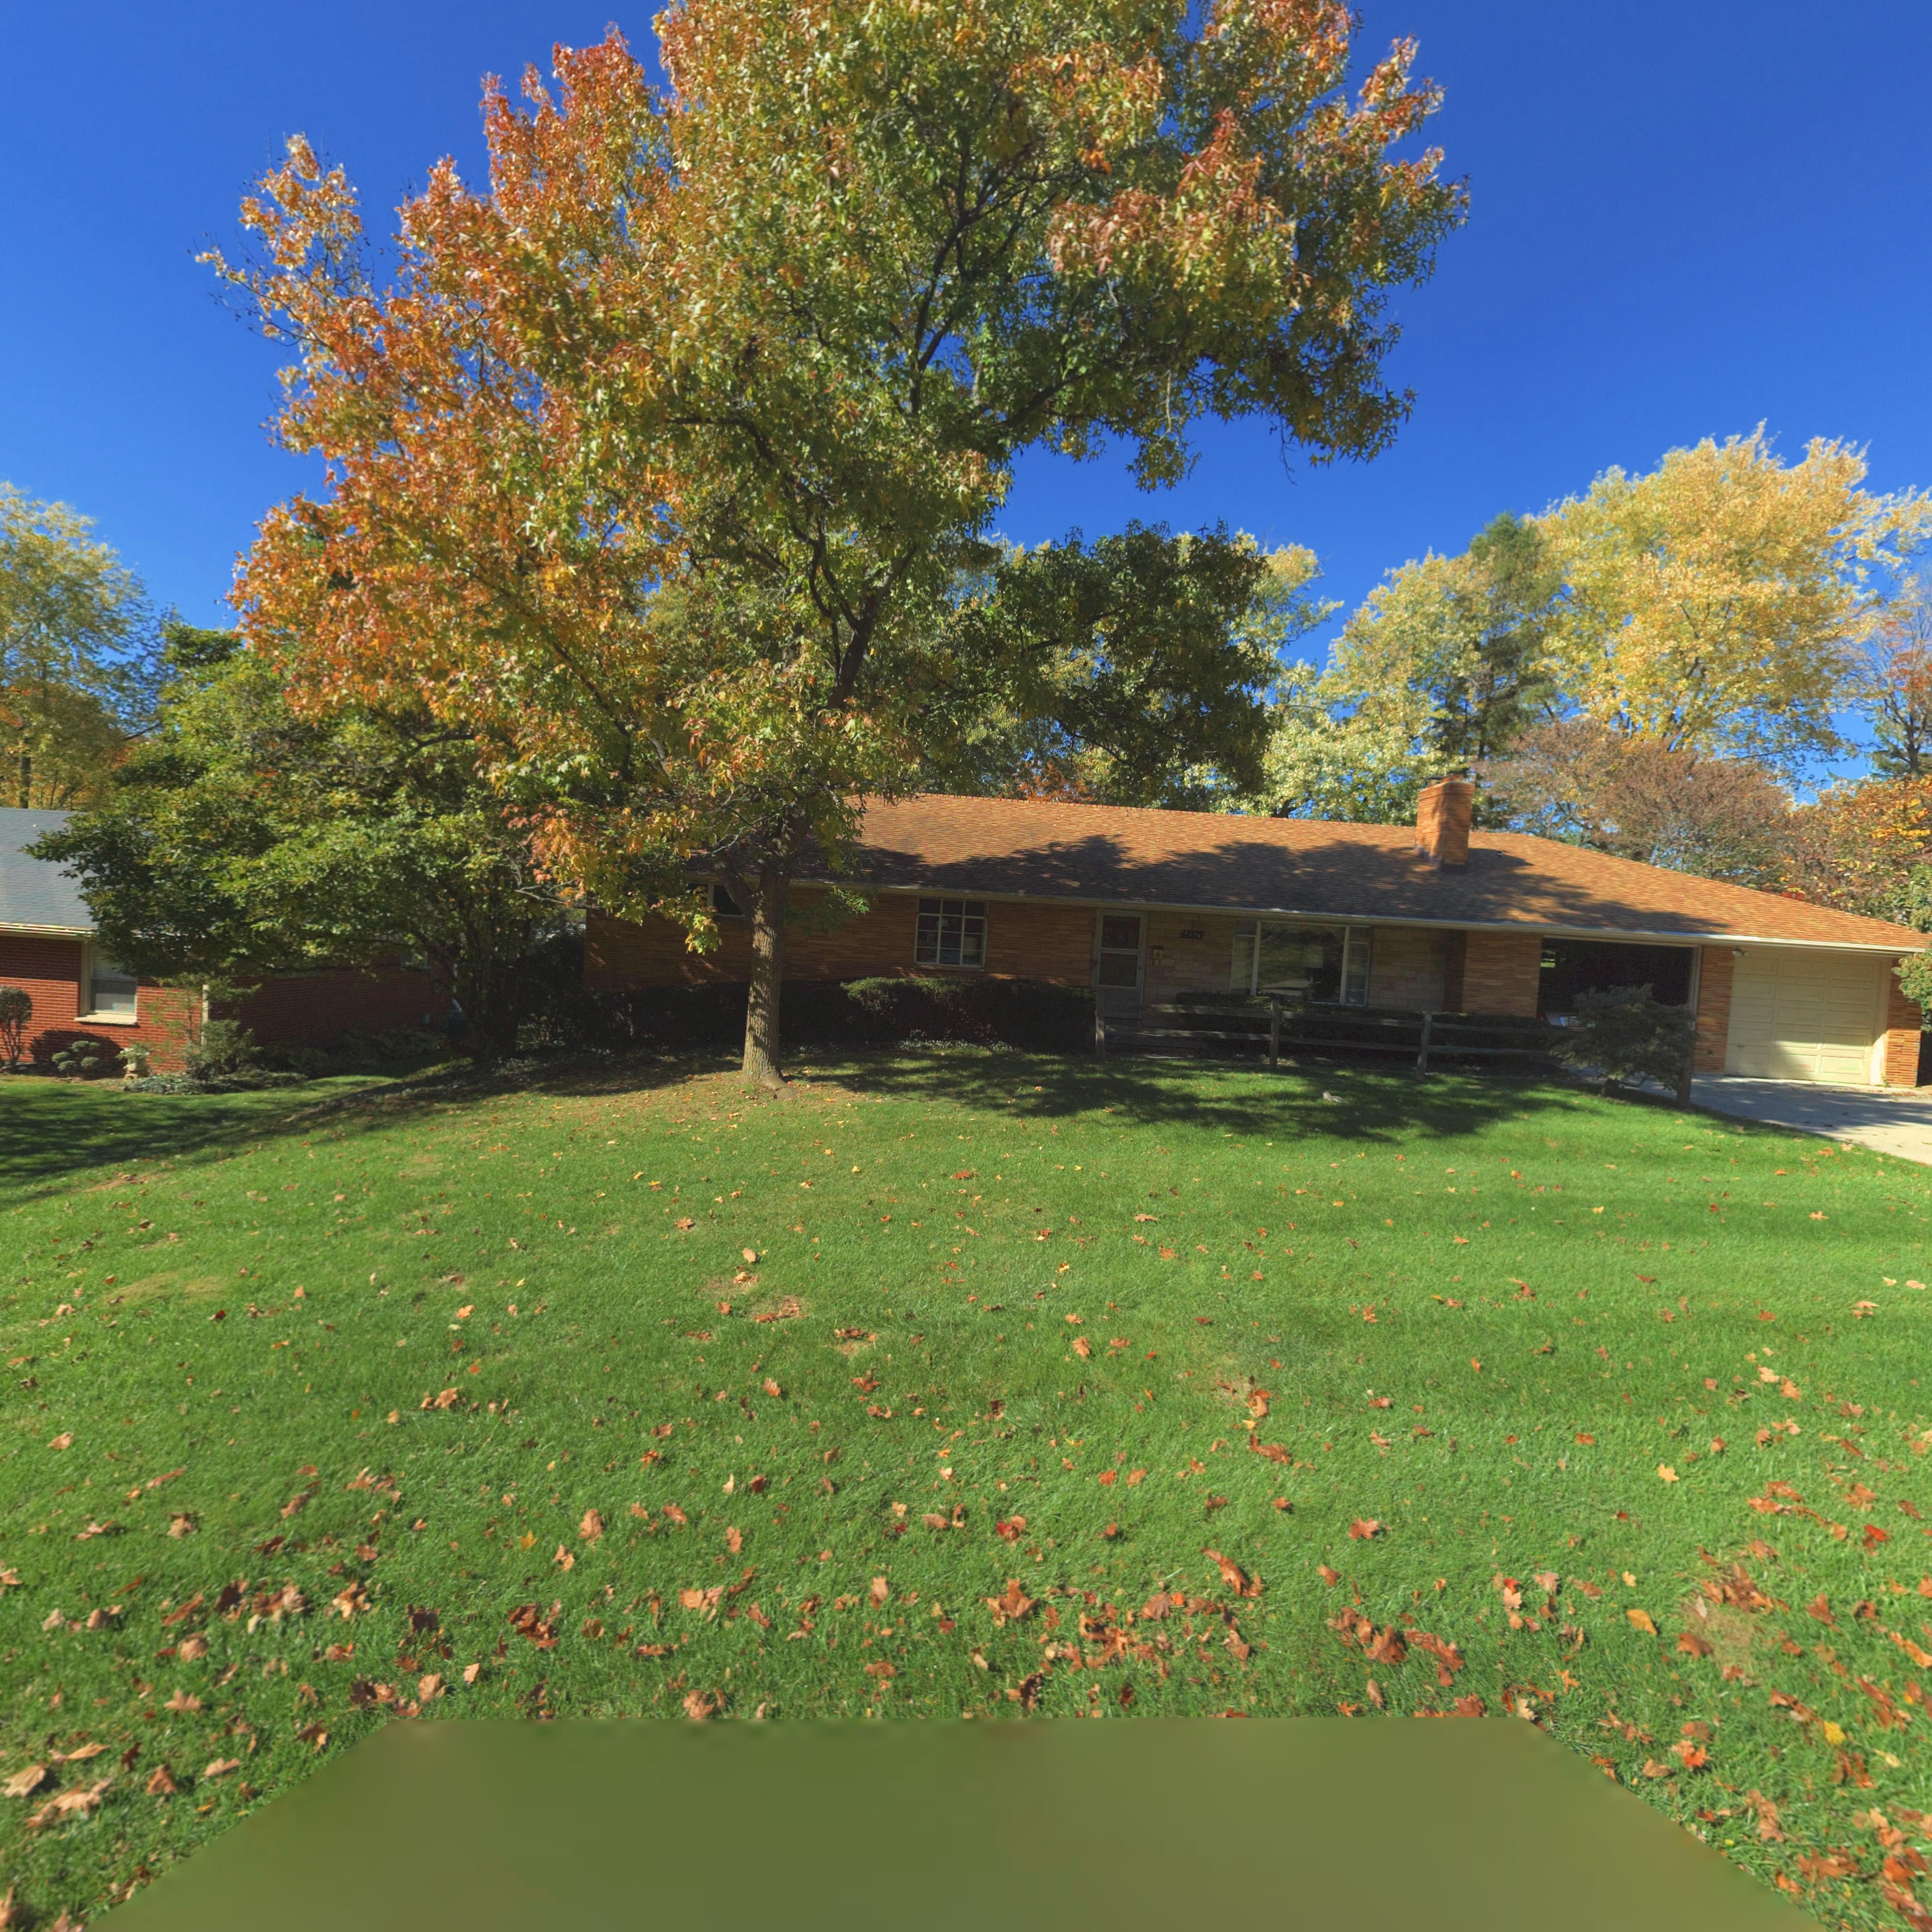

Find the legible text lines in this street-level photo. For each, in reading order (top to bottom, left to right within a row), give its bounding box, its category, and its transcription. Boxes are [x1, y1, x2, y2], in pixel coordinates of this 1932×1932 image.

[1184, 929, 1201, 939] StreetNumber: *239